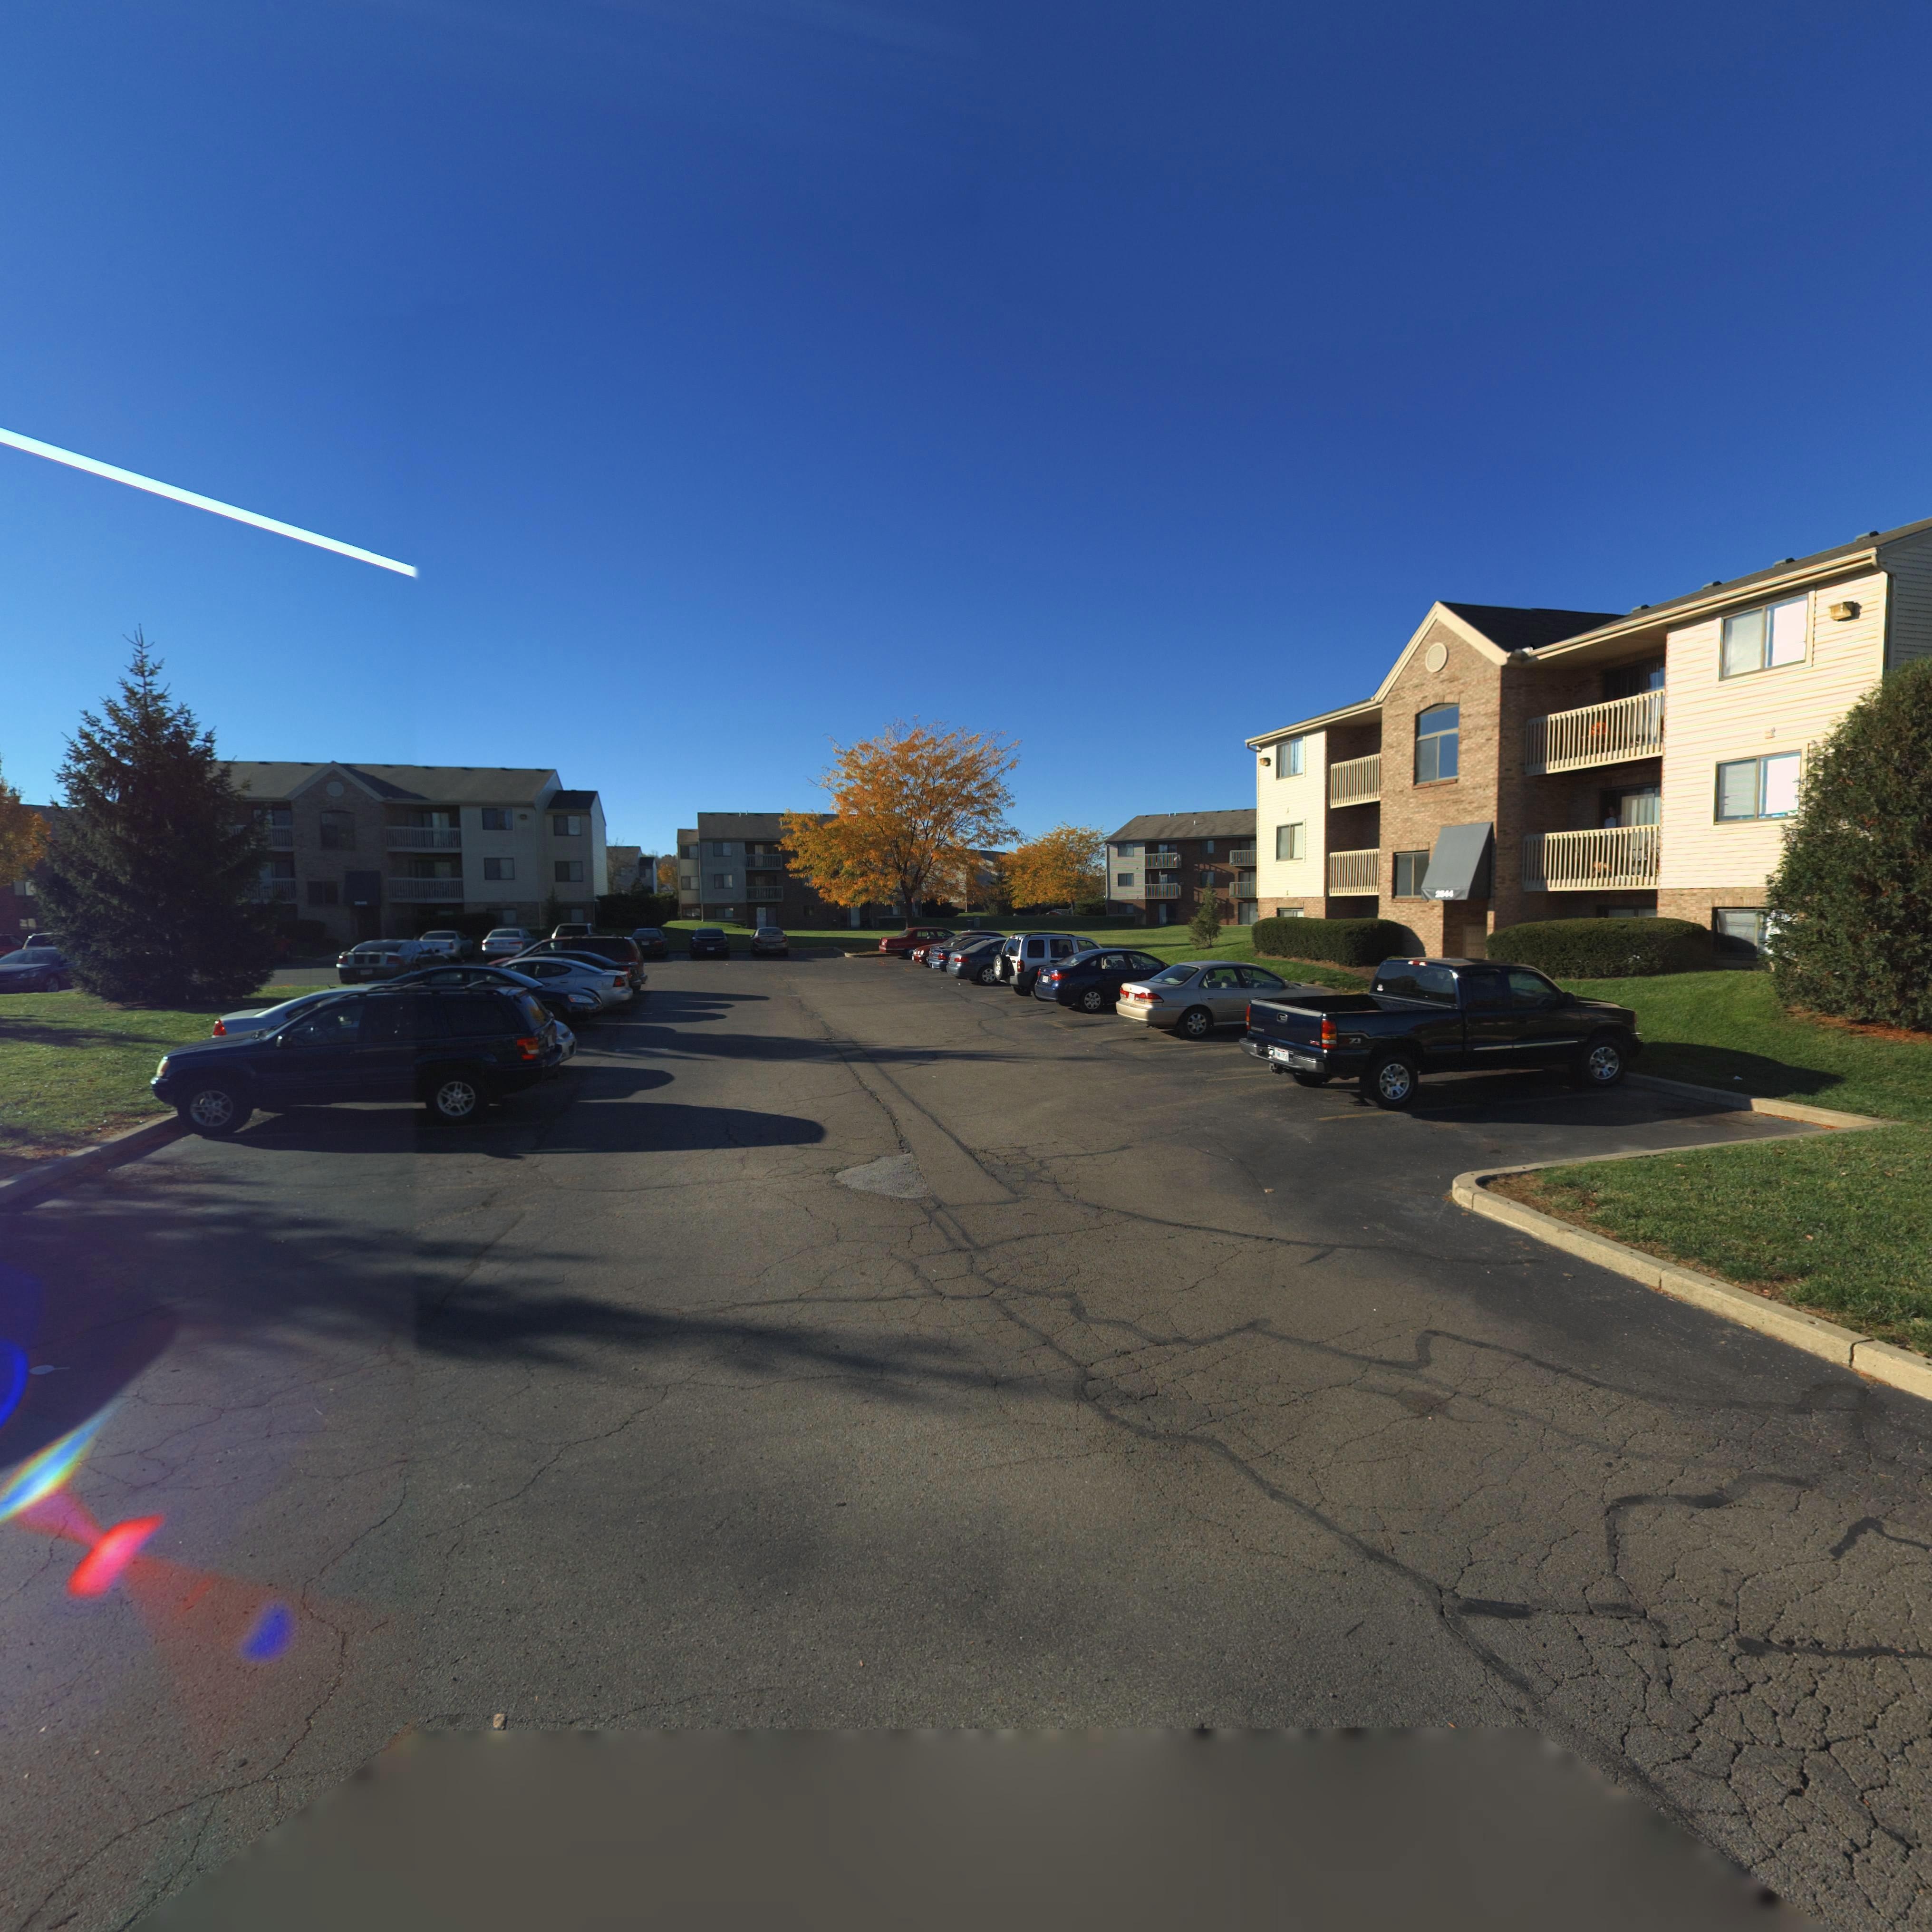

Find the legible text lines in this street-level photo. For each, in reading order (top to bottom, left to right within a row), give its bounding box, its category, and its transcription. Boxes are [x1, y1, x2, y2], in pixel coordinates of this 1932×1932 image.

[1434, 889, 1455, 898] StreetNumber: 2*44\